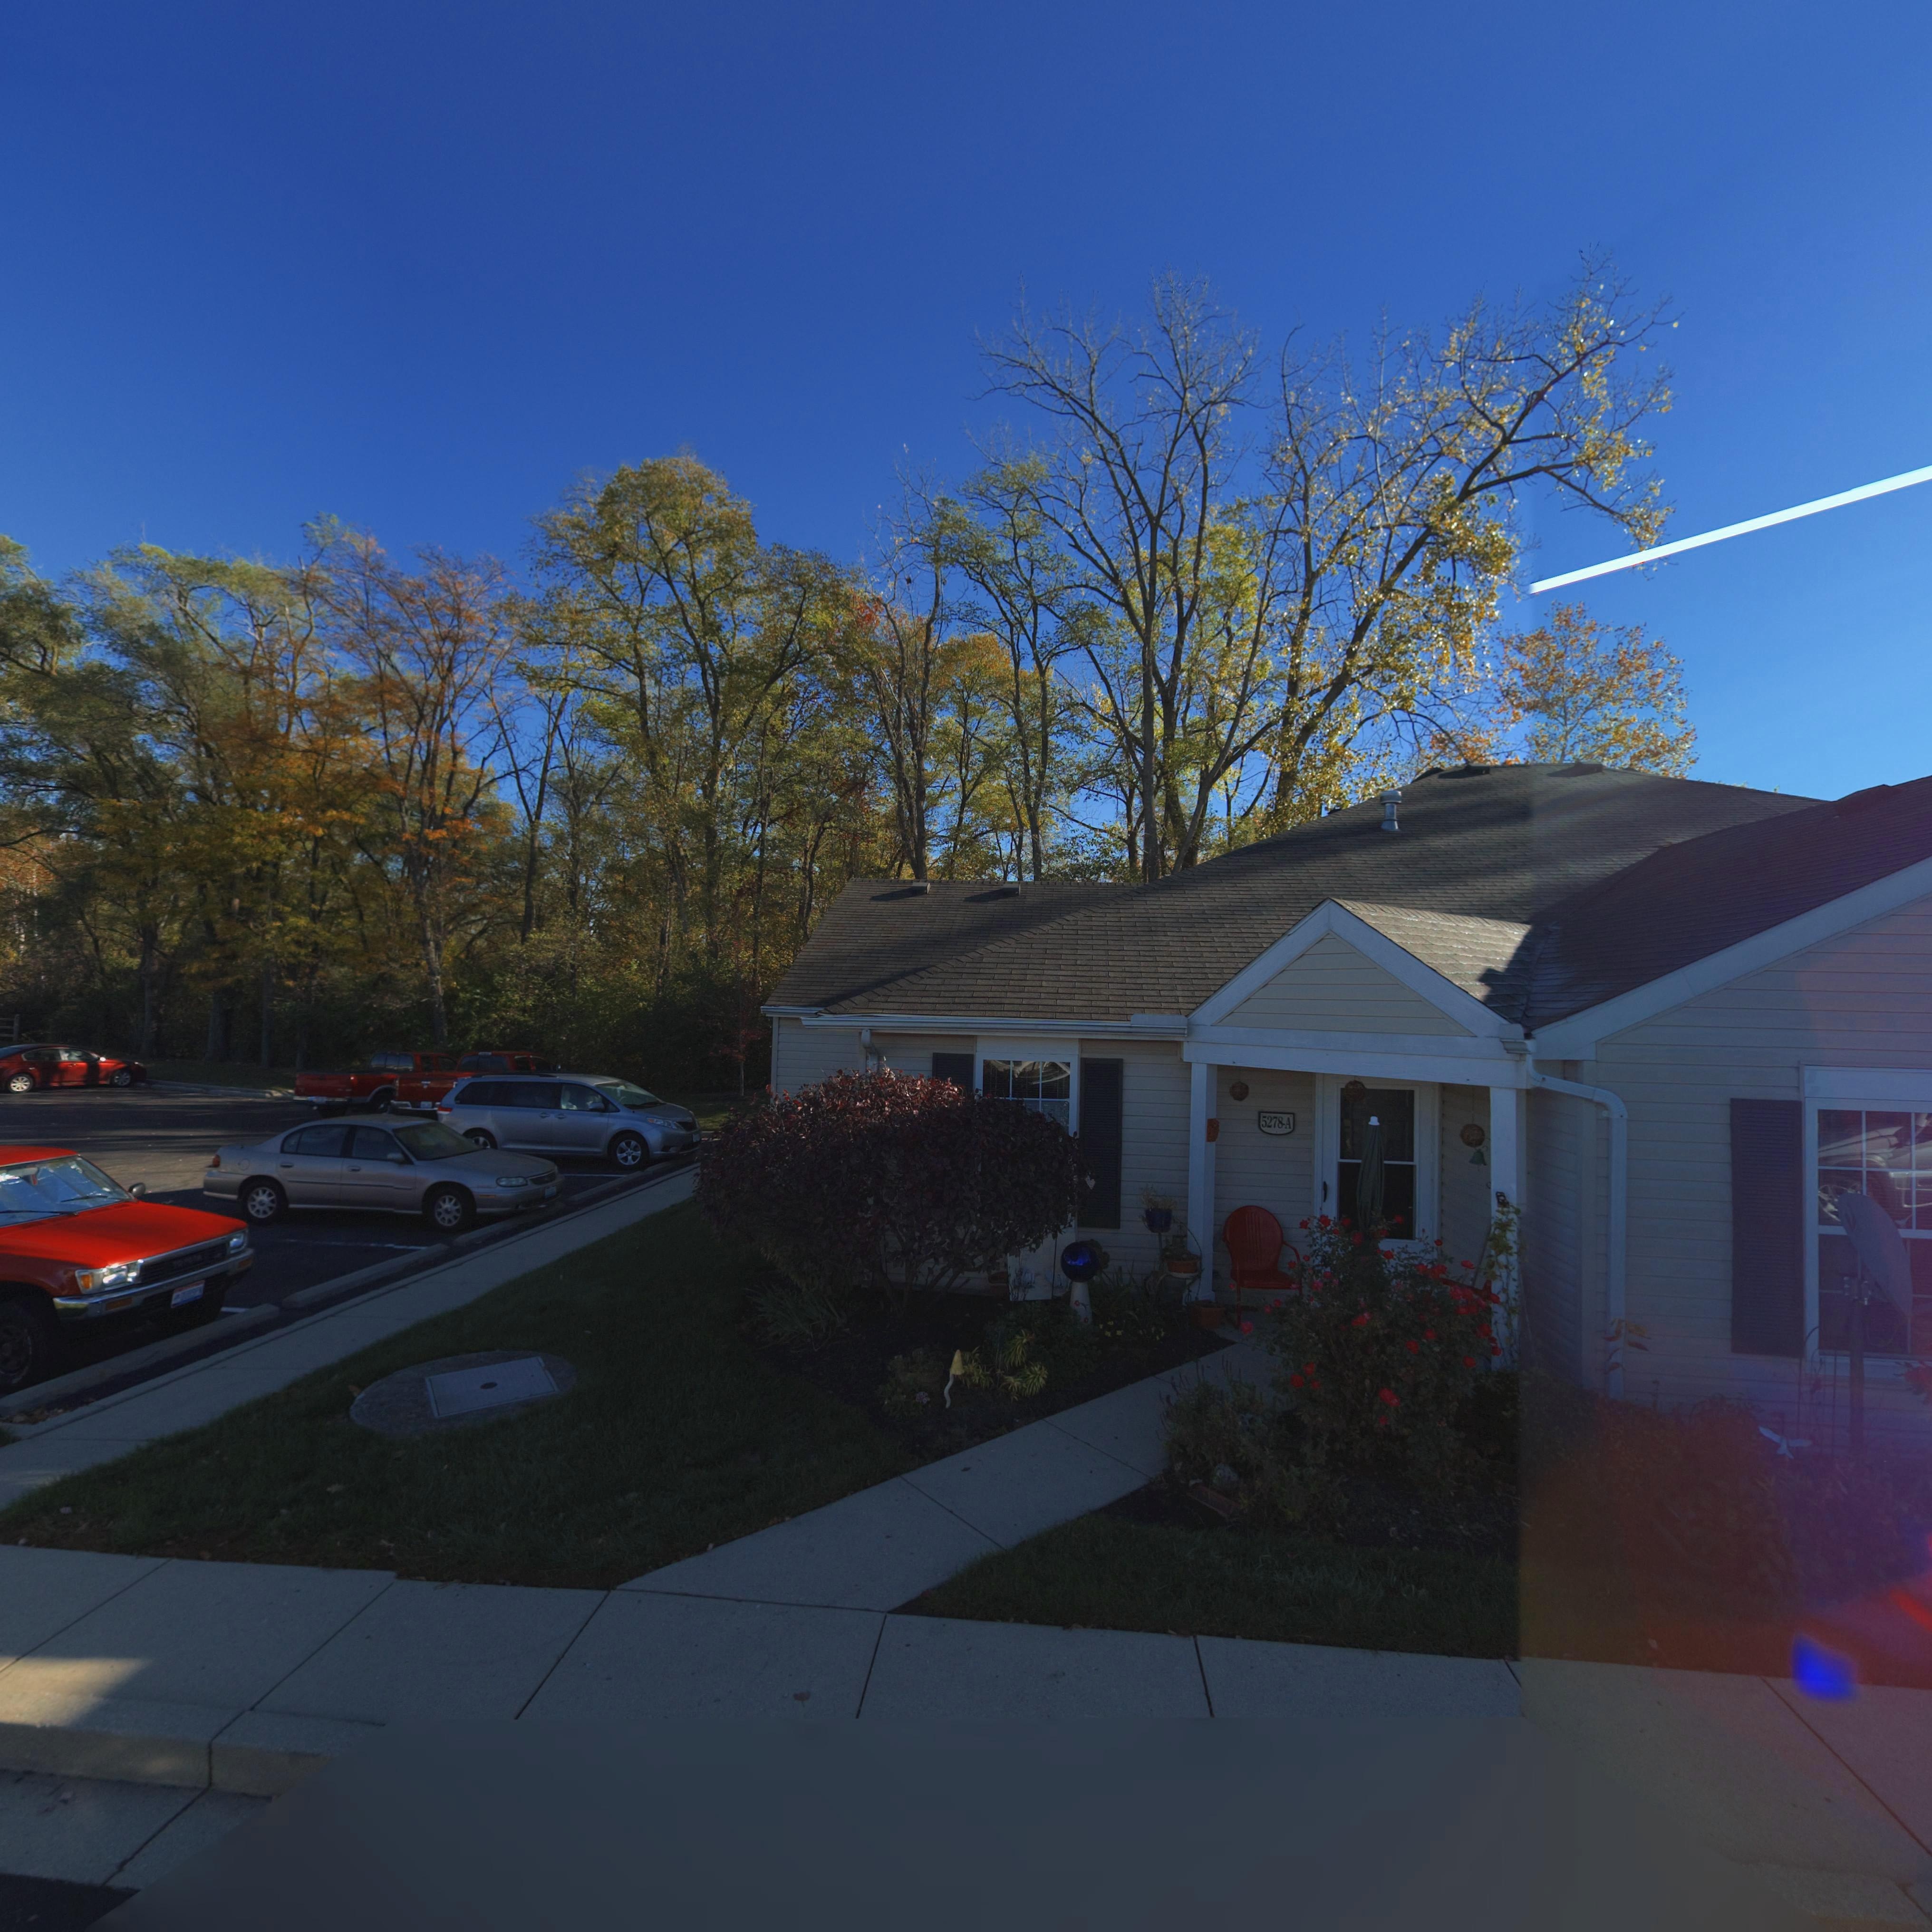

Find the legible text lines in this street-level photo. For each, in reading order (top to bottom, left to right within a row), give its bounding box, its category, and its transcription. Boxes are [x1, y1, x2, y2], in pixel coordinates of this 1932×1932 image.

[1260, 1114, 1293, 1130] StreetNumber: 5278-A